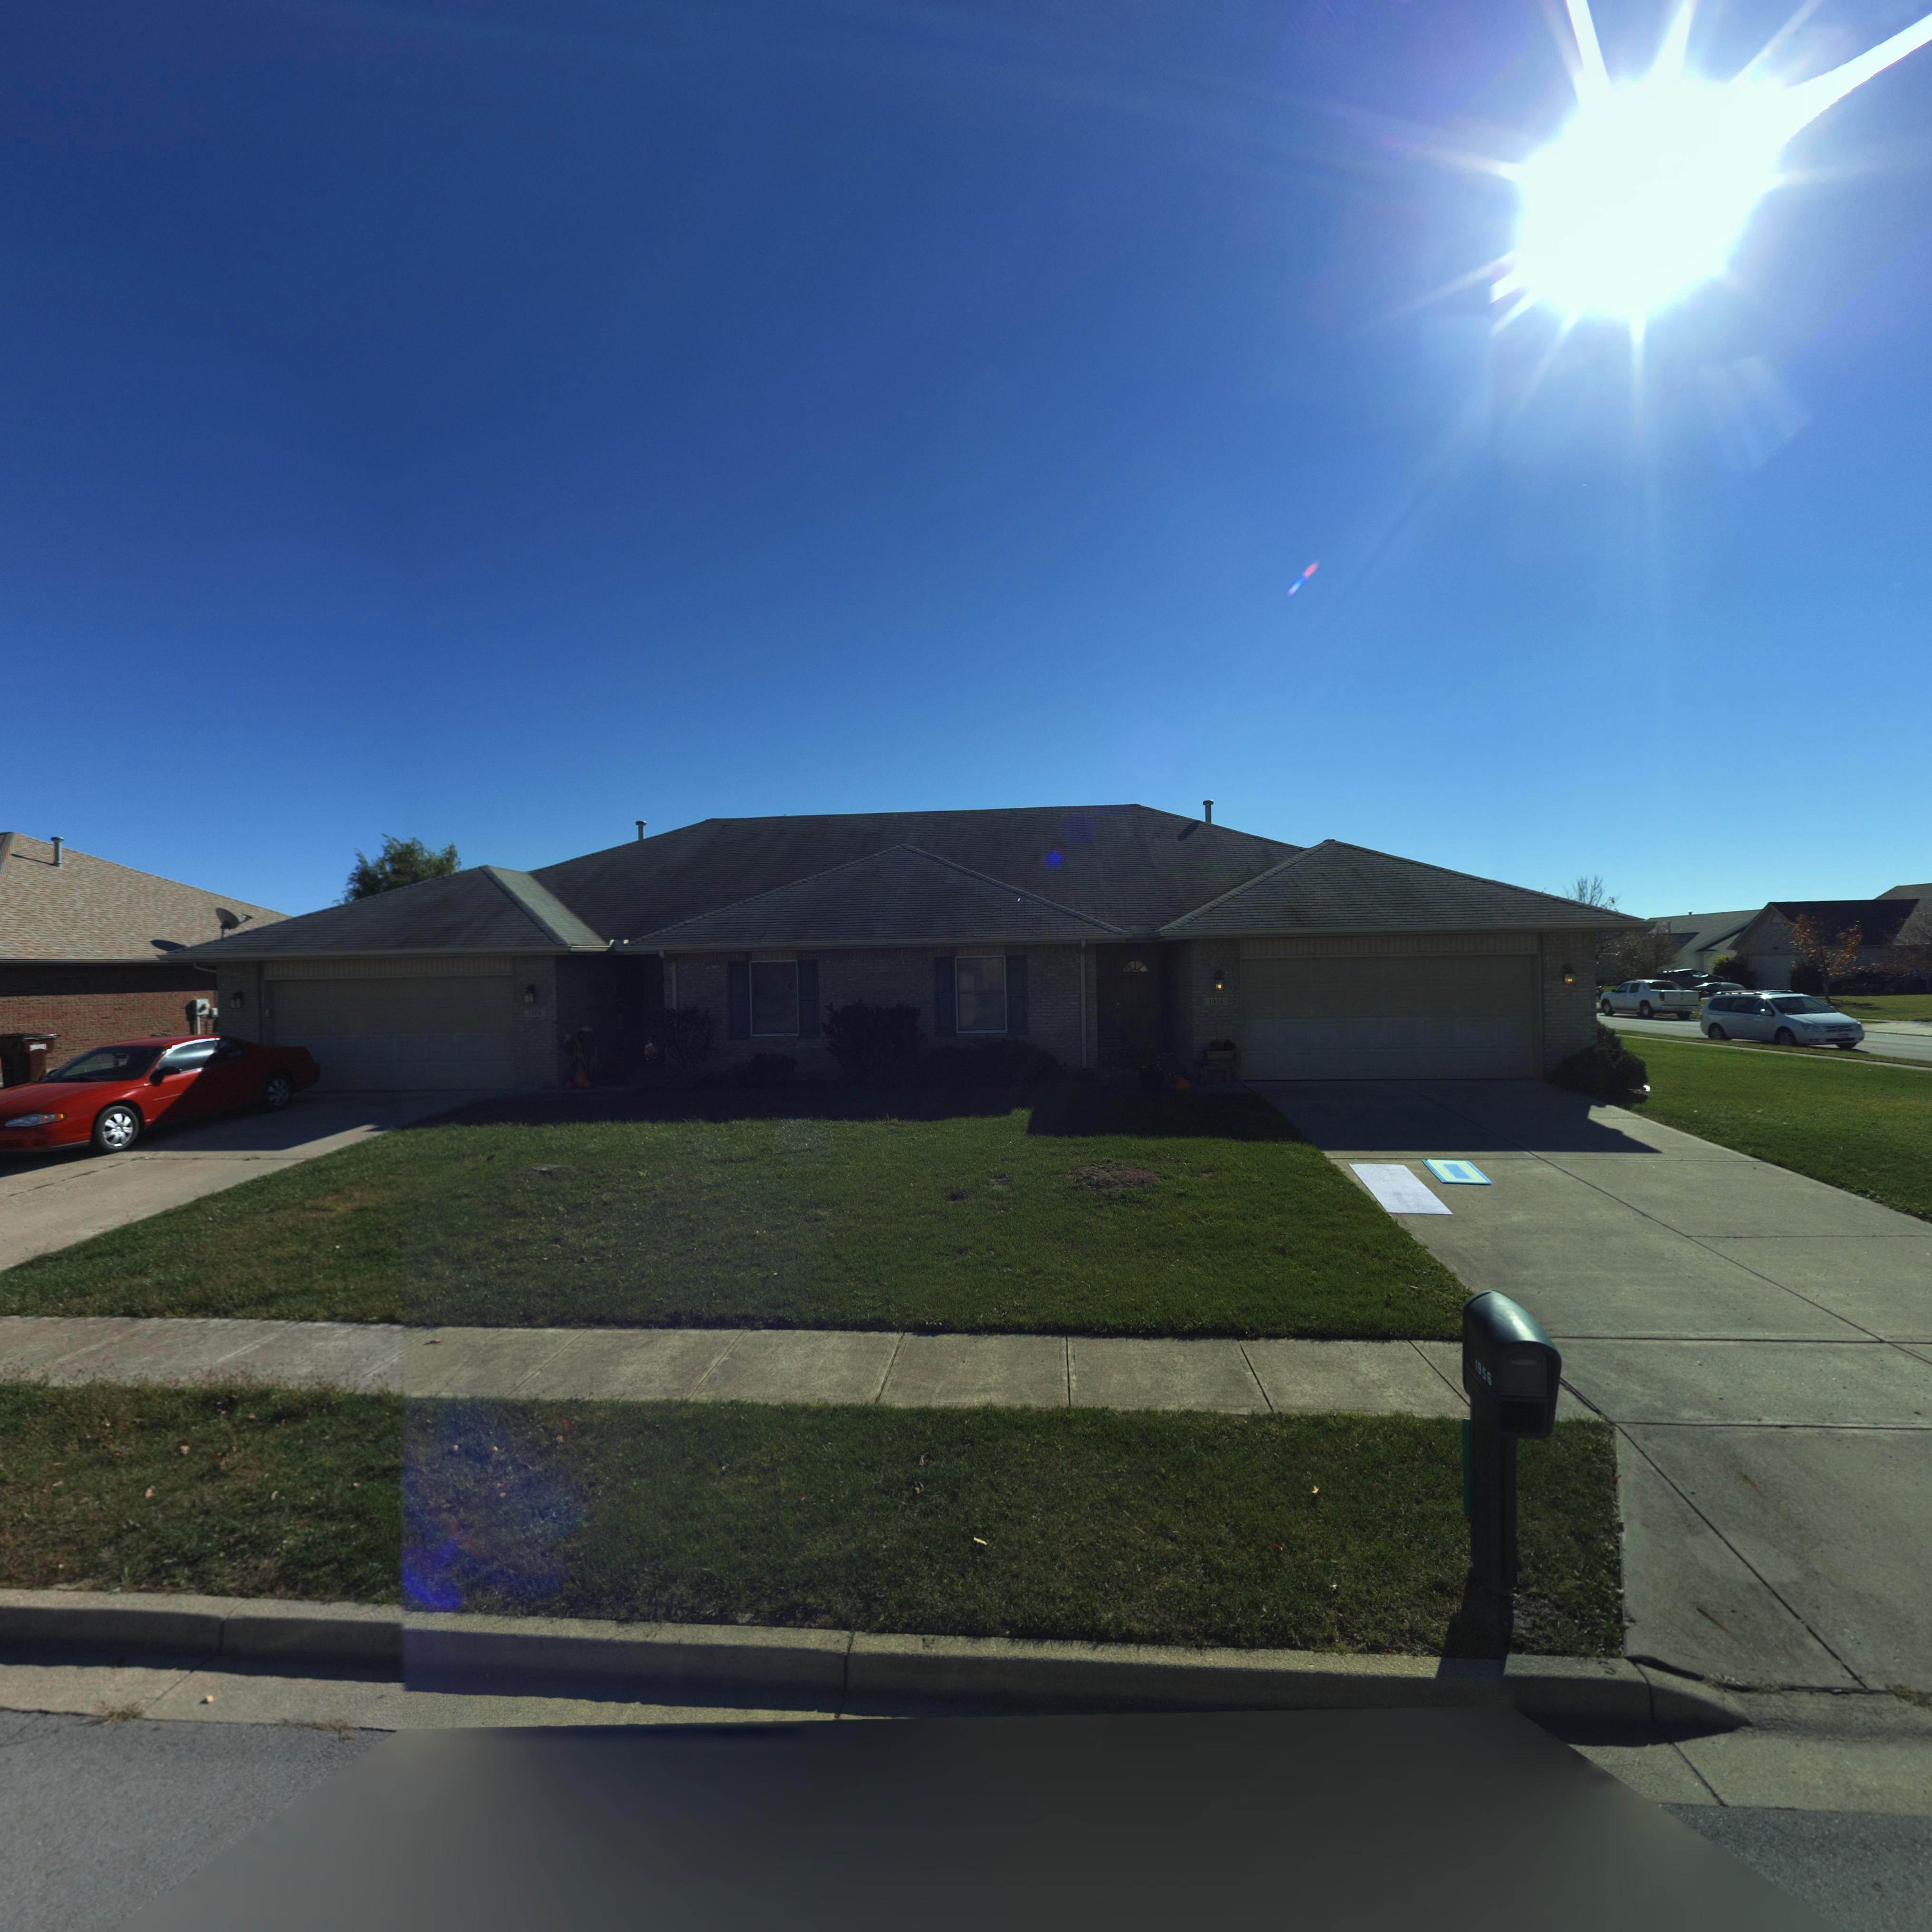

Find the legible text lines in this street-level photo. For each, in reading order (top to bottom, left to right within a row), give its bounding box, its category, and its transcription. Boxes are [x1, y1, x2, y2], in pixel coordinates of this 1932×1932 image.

[1208, 998, 1224, 1005] StreetNumber: 1956
[527, 1009, 542, 1017] StreetNumber: 19**
[1474, 1358, 1493, 1387] StreetNumber: 1956